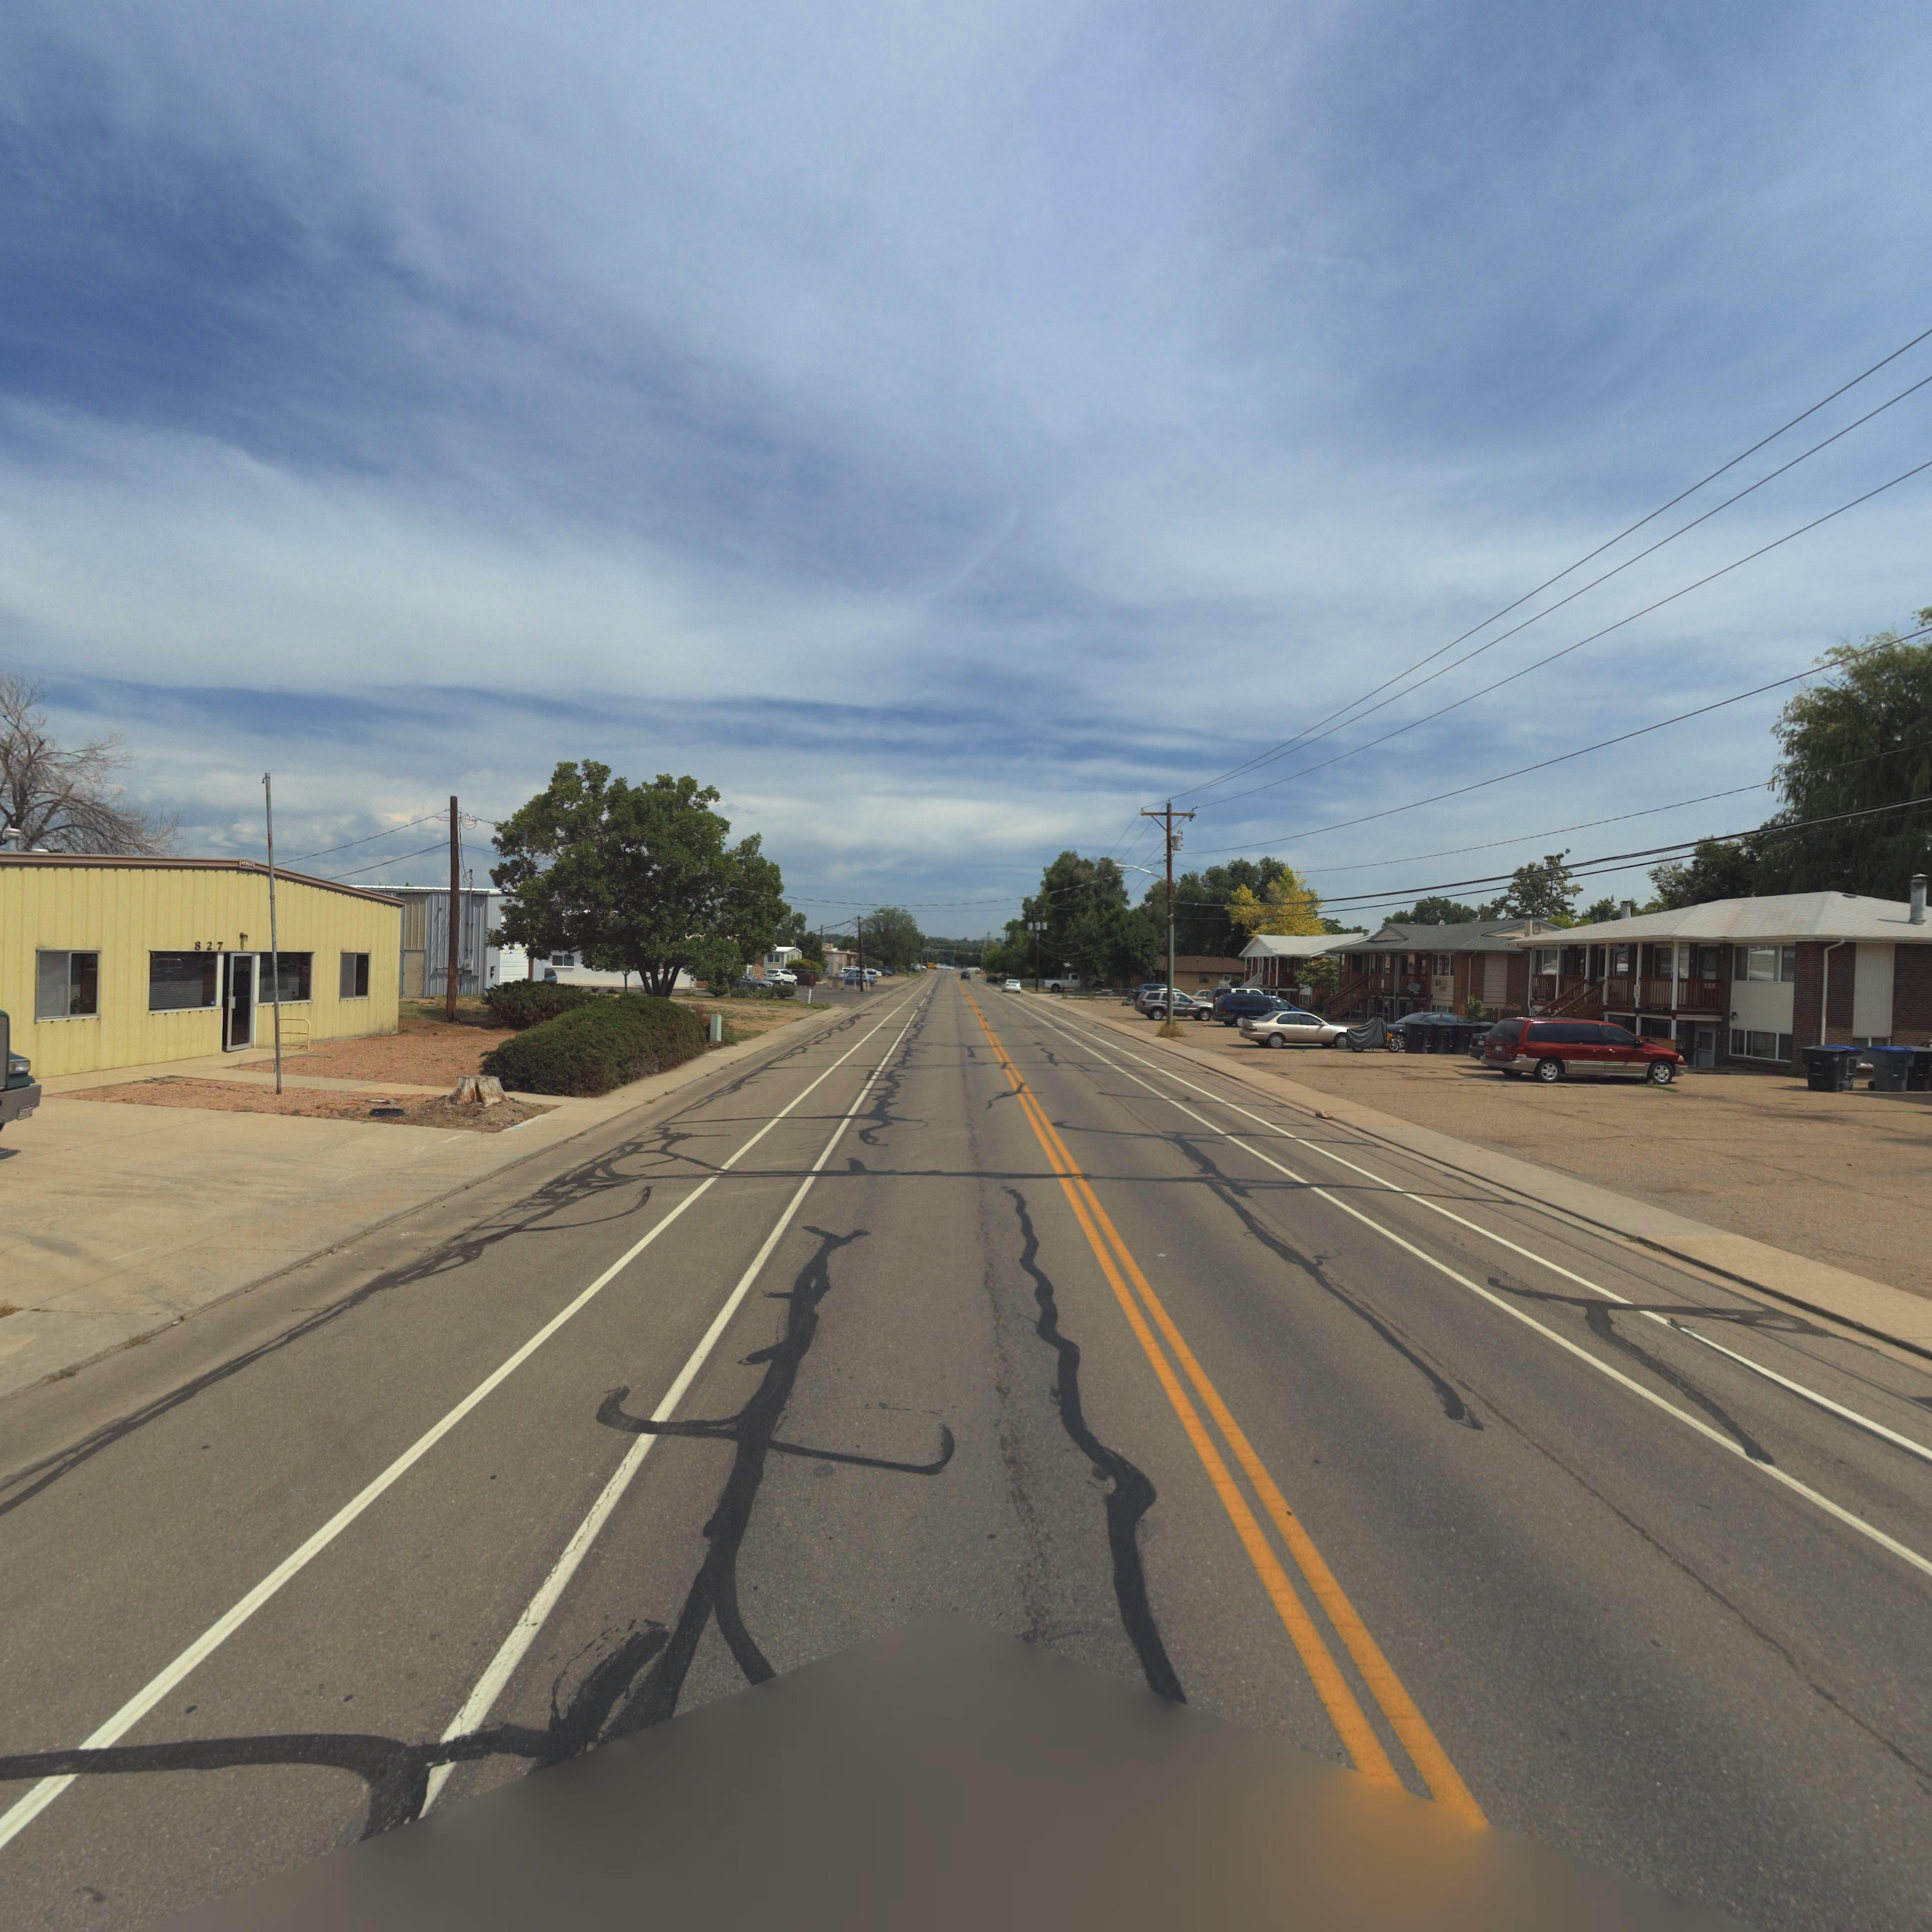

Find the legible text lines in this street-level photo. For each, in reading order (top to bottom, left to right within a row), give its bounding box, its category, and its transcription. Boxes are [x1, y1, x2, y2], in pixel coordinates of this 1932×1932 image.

[193, 940, 223, 951] StreetNumber: 827
[278, 963, 290, 967] BusinessName: C***